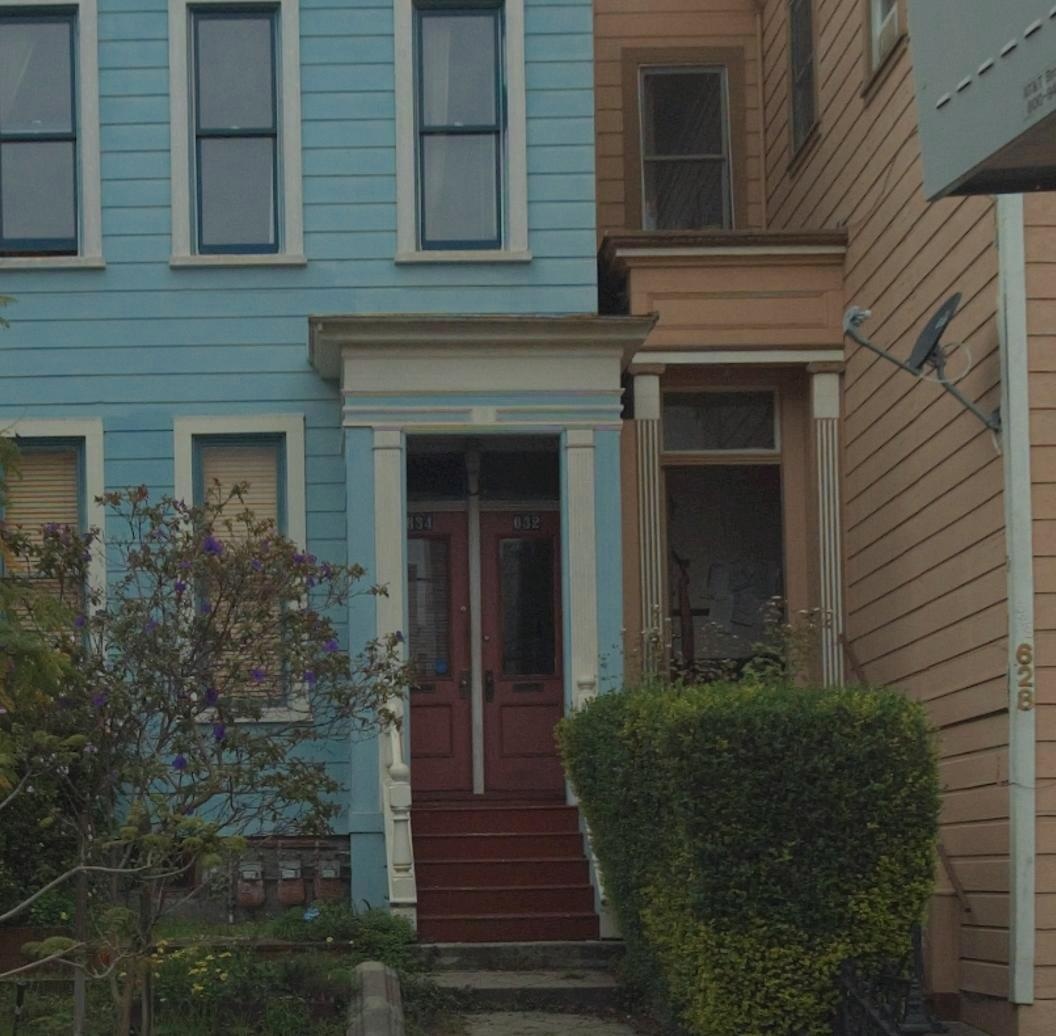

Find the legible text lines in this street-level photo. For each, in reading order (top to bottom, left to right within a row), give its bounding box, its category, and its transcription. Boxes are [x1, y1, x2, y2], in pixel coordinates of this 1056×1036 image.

[405, 514, 433, 530] StreetNumber: 634
[512, 514, 541, 531] StreetNumber: 632
[1014, 643, 1036, 712] StreetNumber: 628